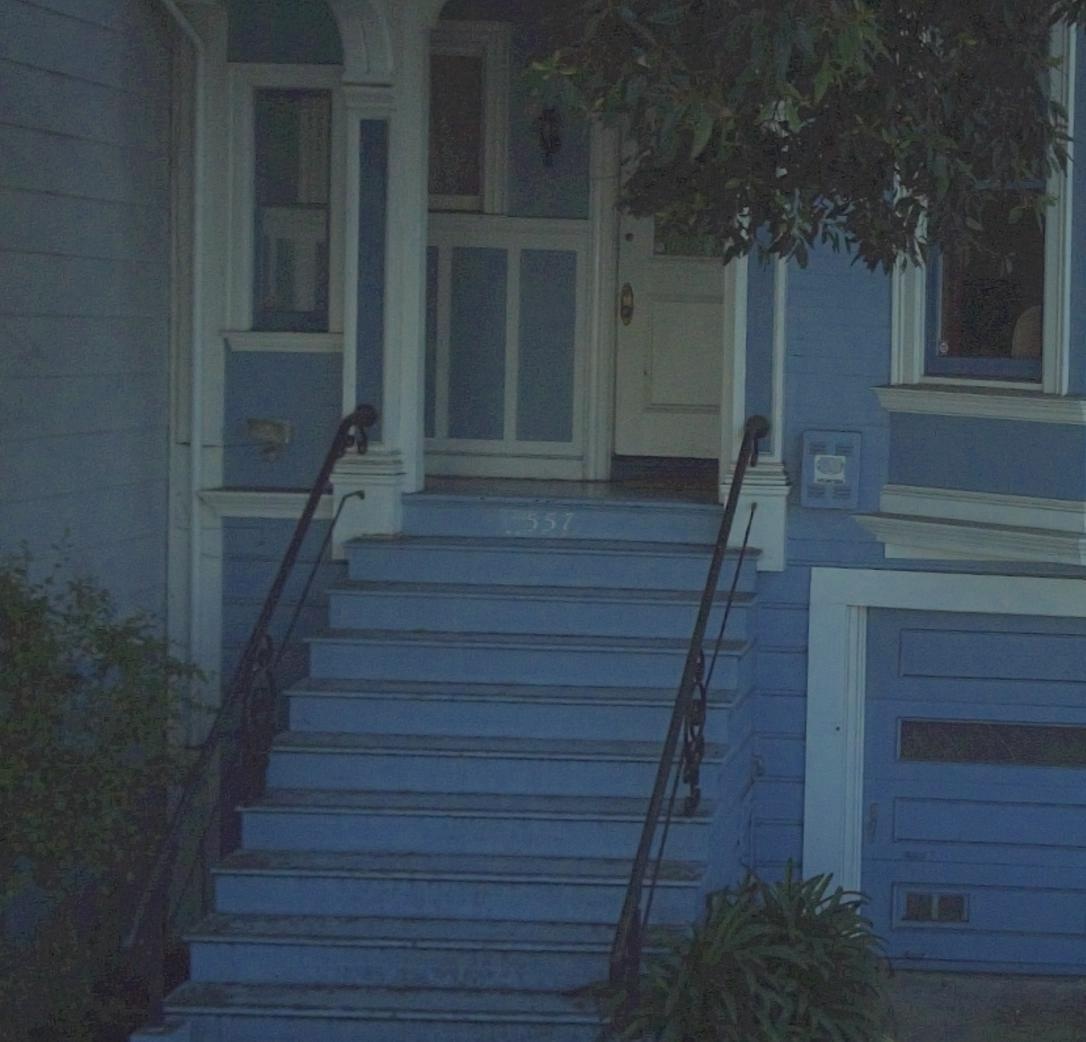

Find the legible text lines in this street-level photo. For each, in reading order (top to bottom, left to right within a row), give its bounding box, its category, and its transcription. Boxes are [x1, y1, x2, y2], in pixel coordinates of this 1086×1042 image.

[522, 511, 576, 533] StreetNumber: 557